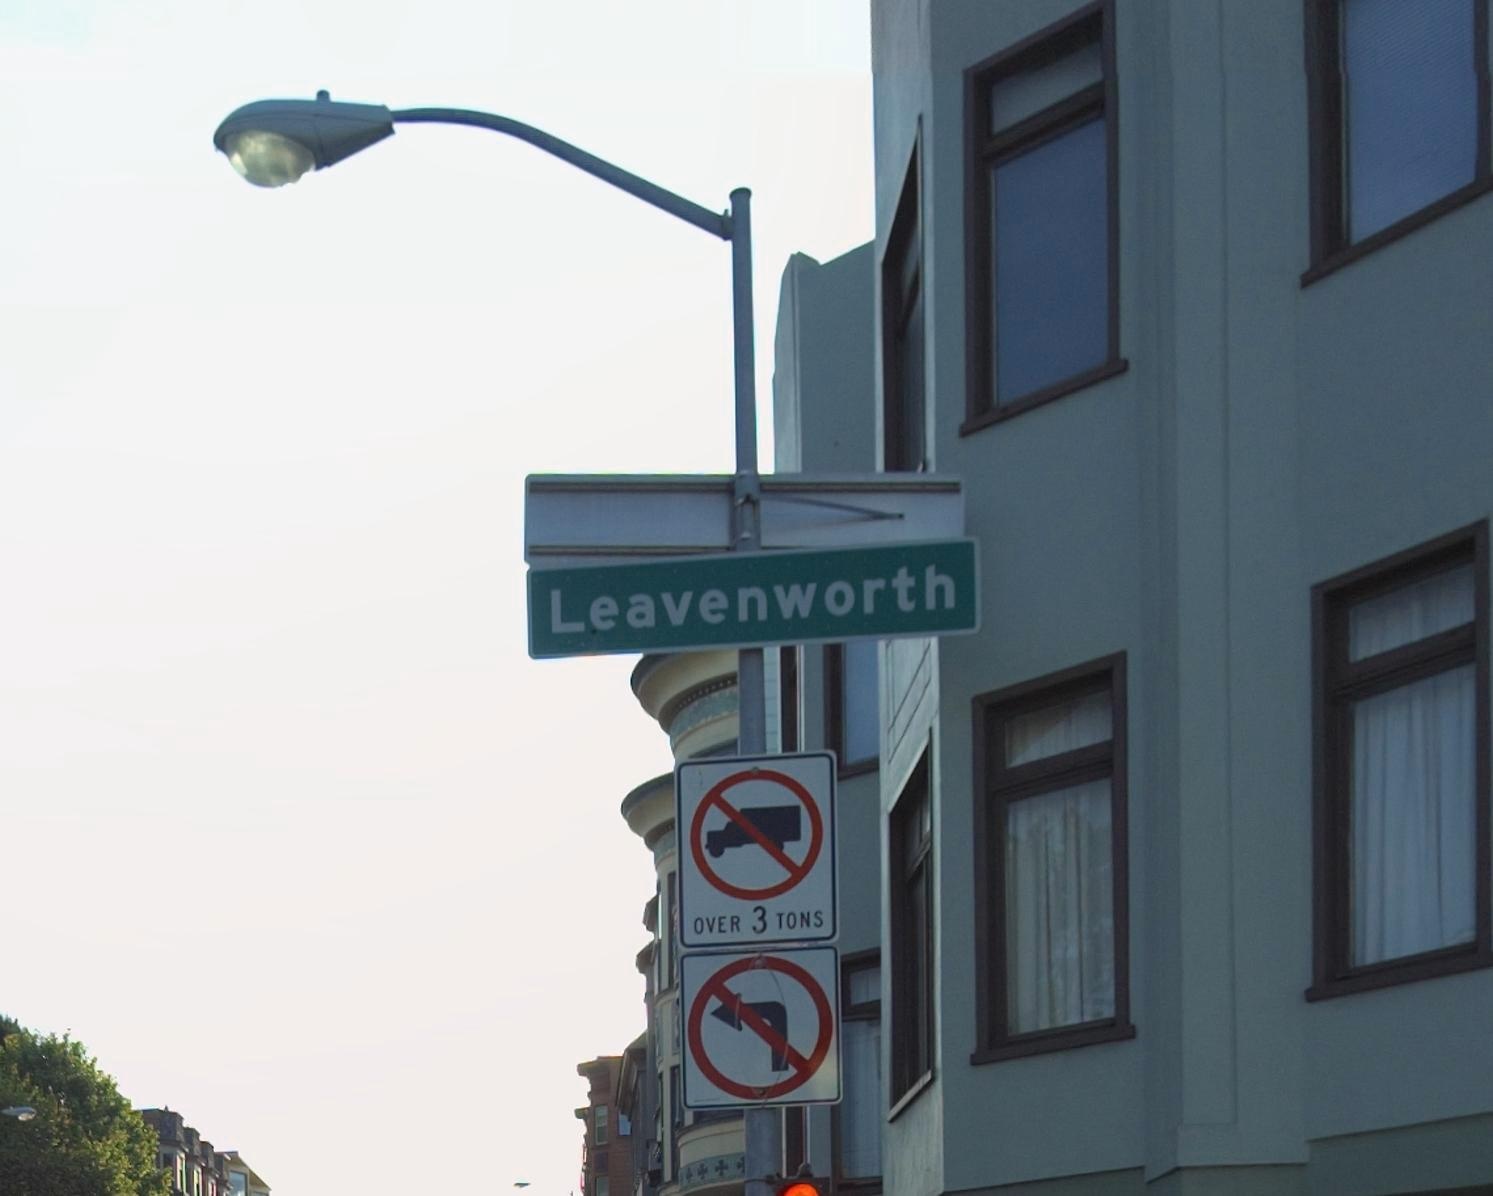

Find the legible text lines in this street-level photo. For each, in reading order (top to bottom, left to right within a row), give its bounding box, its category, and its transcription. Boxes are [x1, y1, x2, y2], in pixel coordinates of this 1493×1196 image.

[545, 555, 961, 641] StreetName: Leavenworth
[690, 902, 827, 939] None: OVER 3 TONS